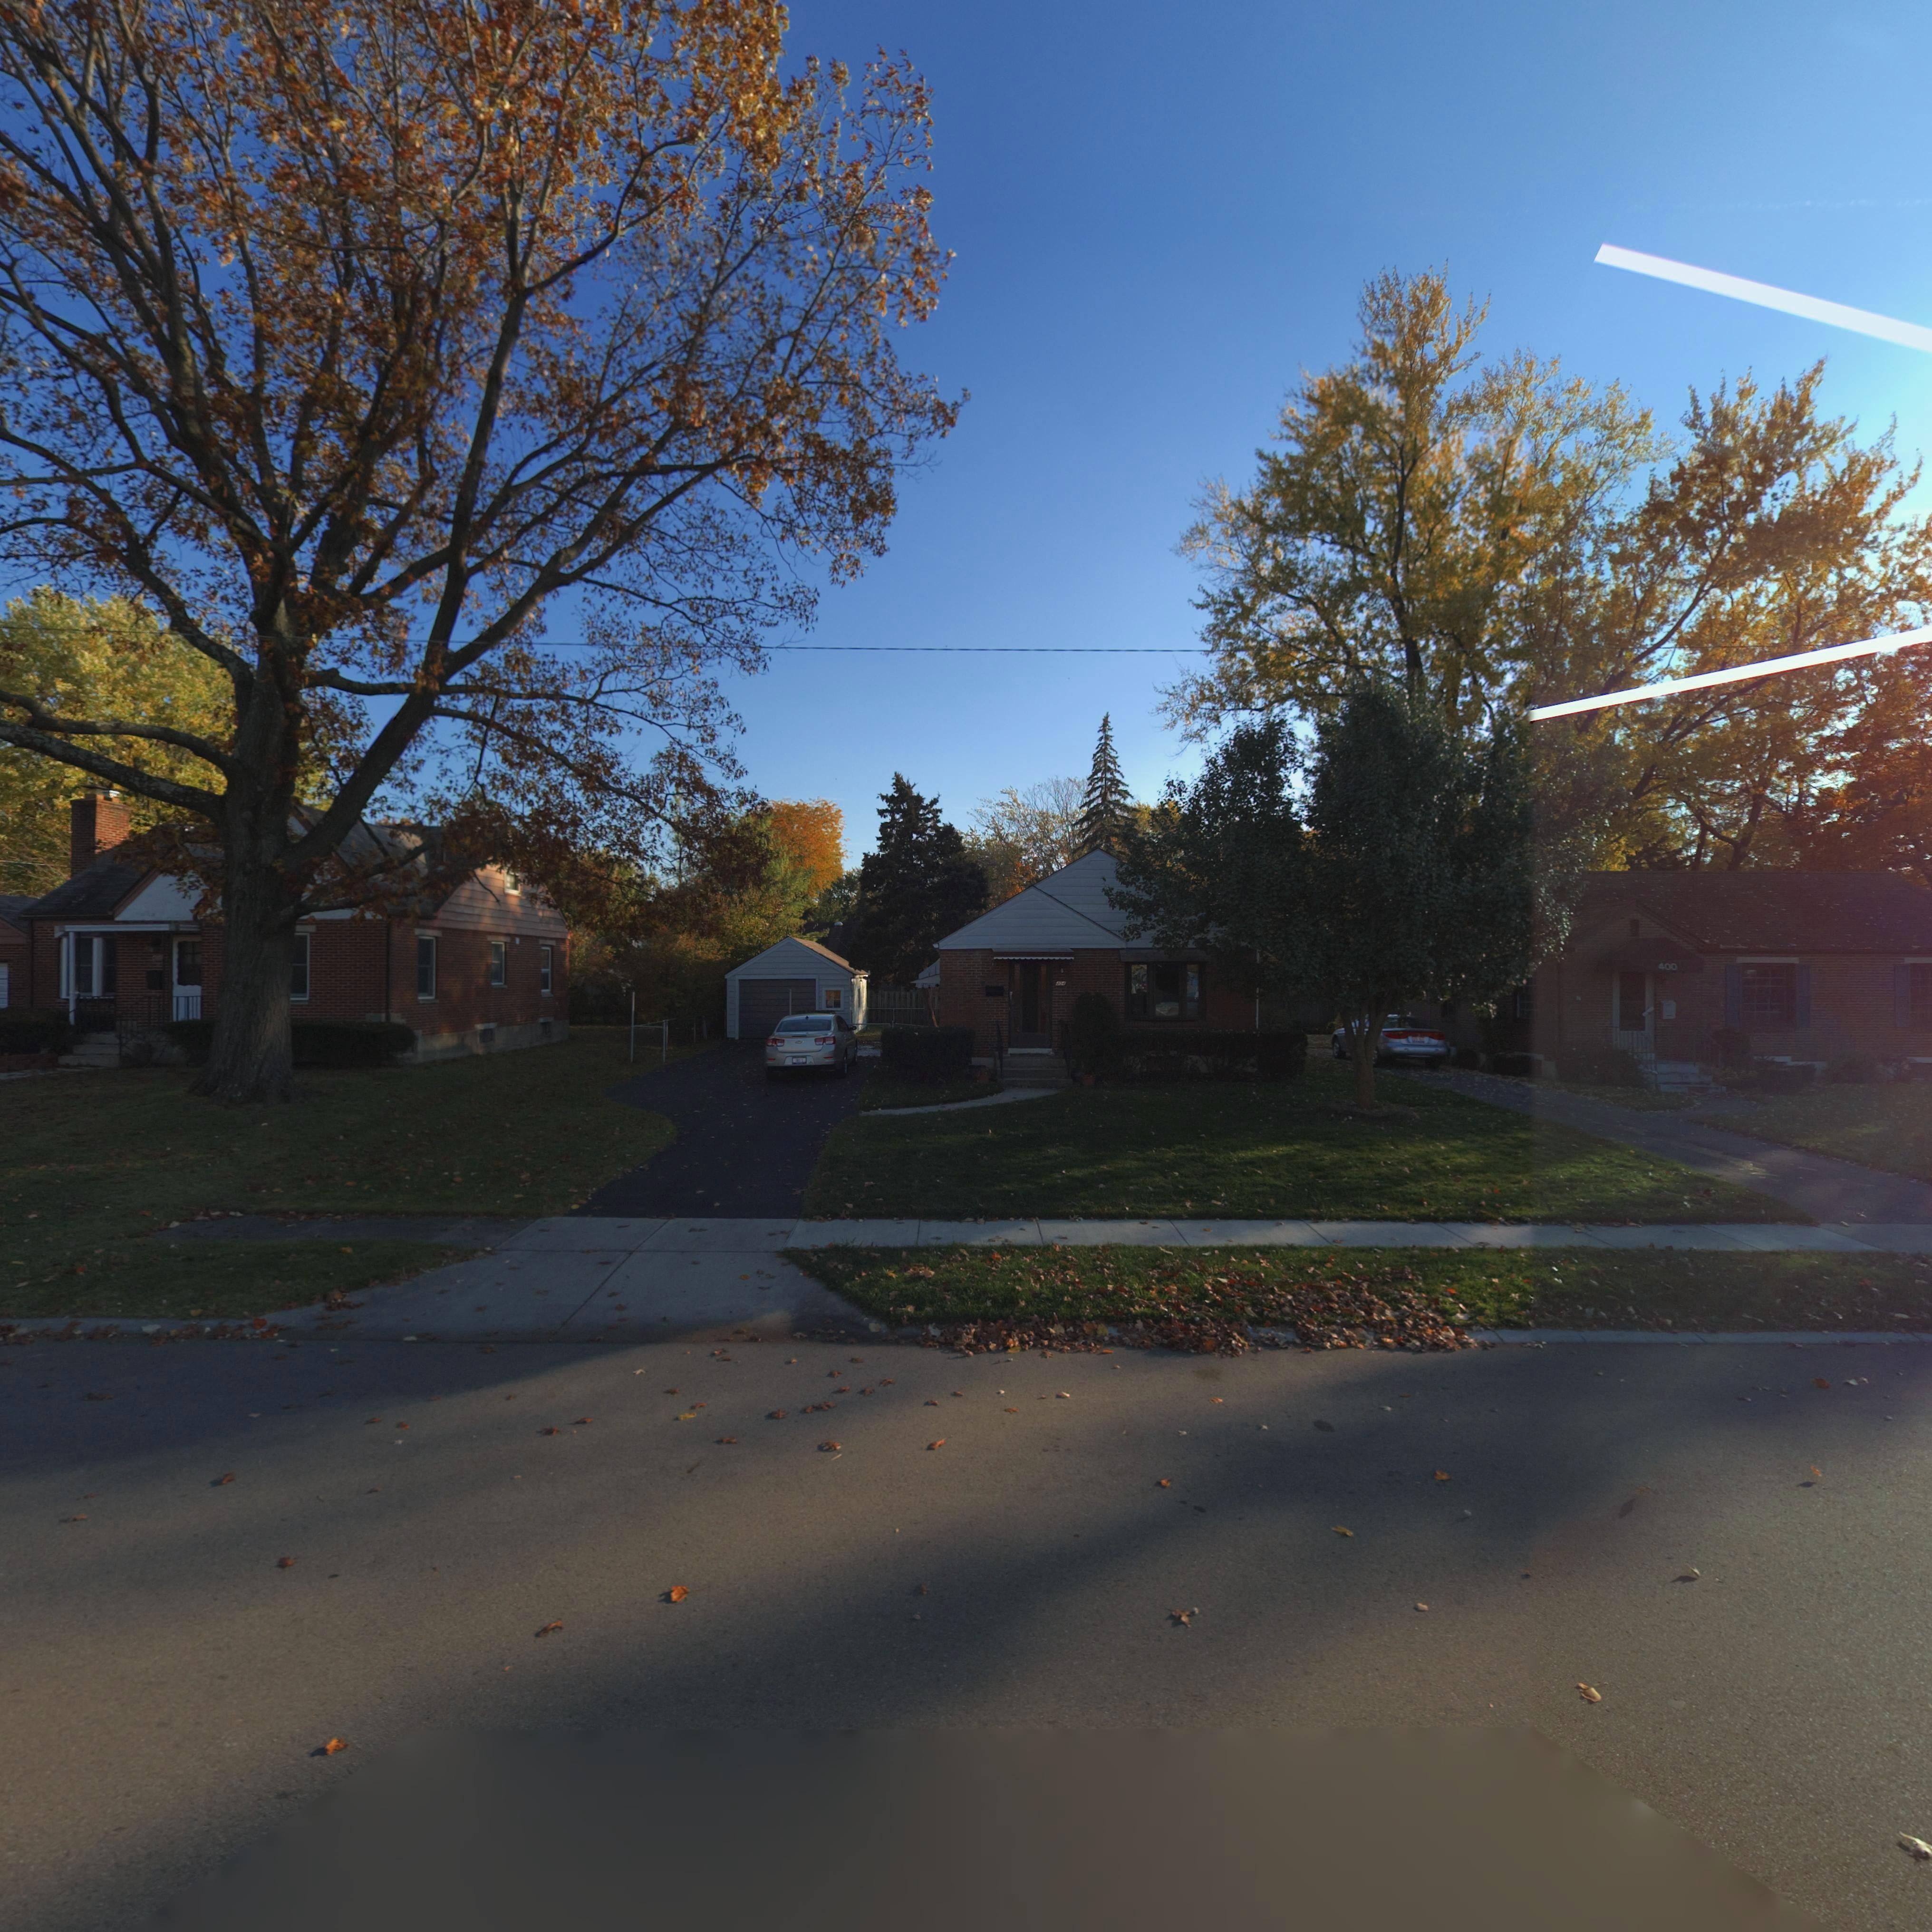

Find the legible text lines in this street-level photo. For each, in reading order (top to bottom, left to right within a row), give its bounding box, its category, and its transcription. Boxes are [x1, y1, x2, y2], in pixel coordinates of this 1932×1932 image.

[1657, 962, 1679, 972] StreetNumber: 400
[1055, 981, 1066, 986] StreetNumber: *04